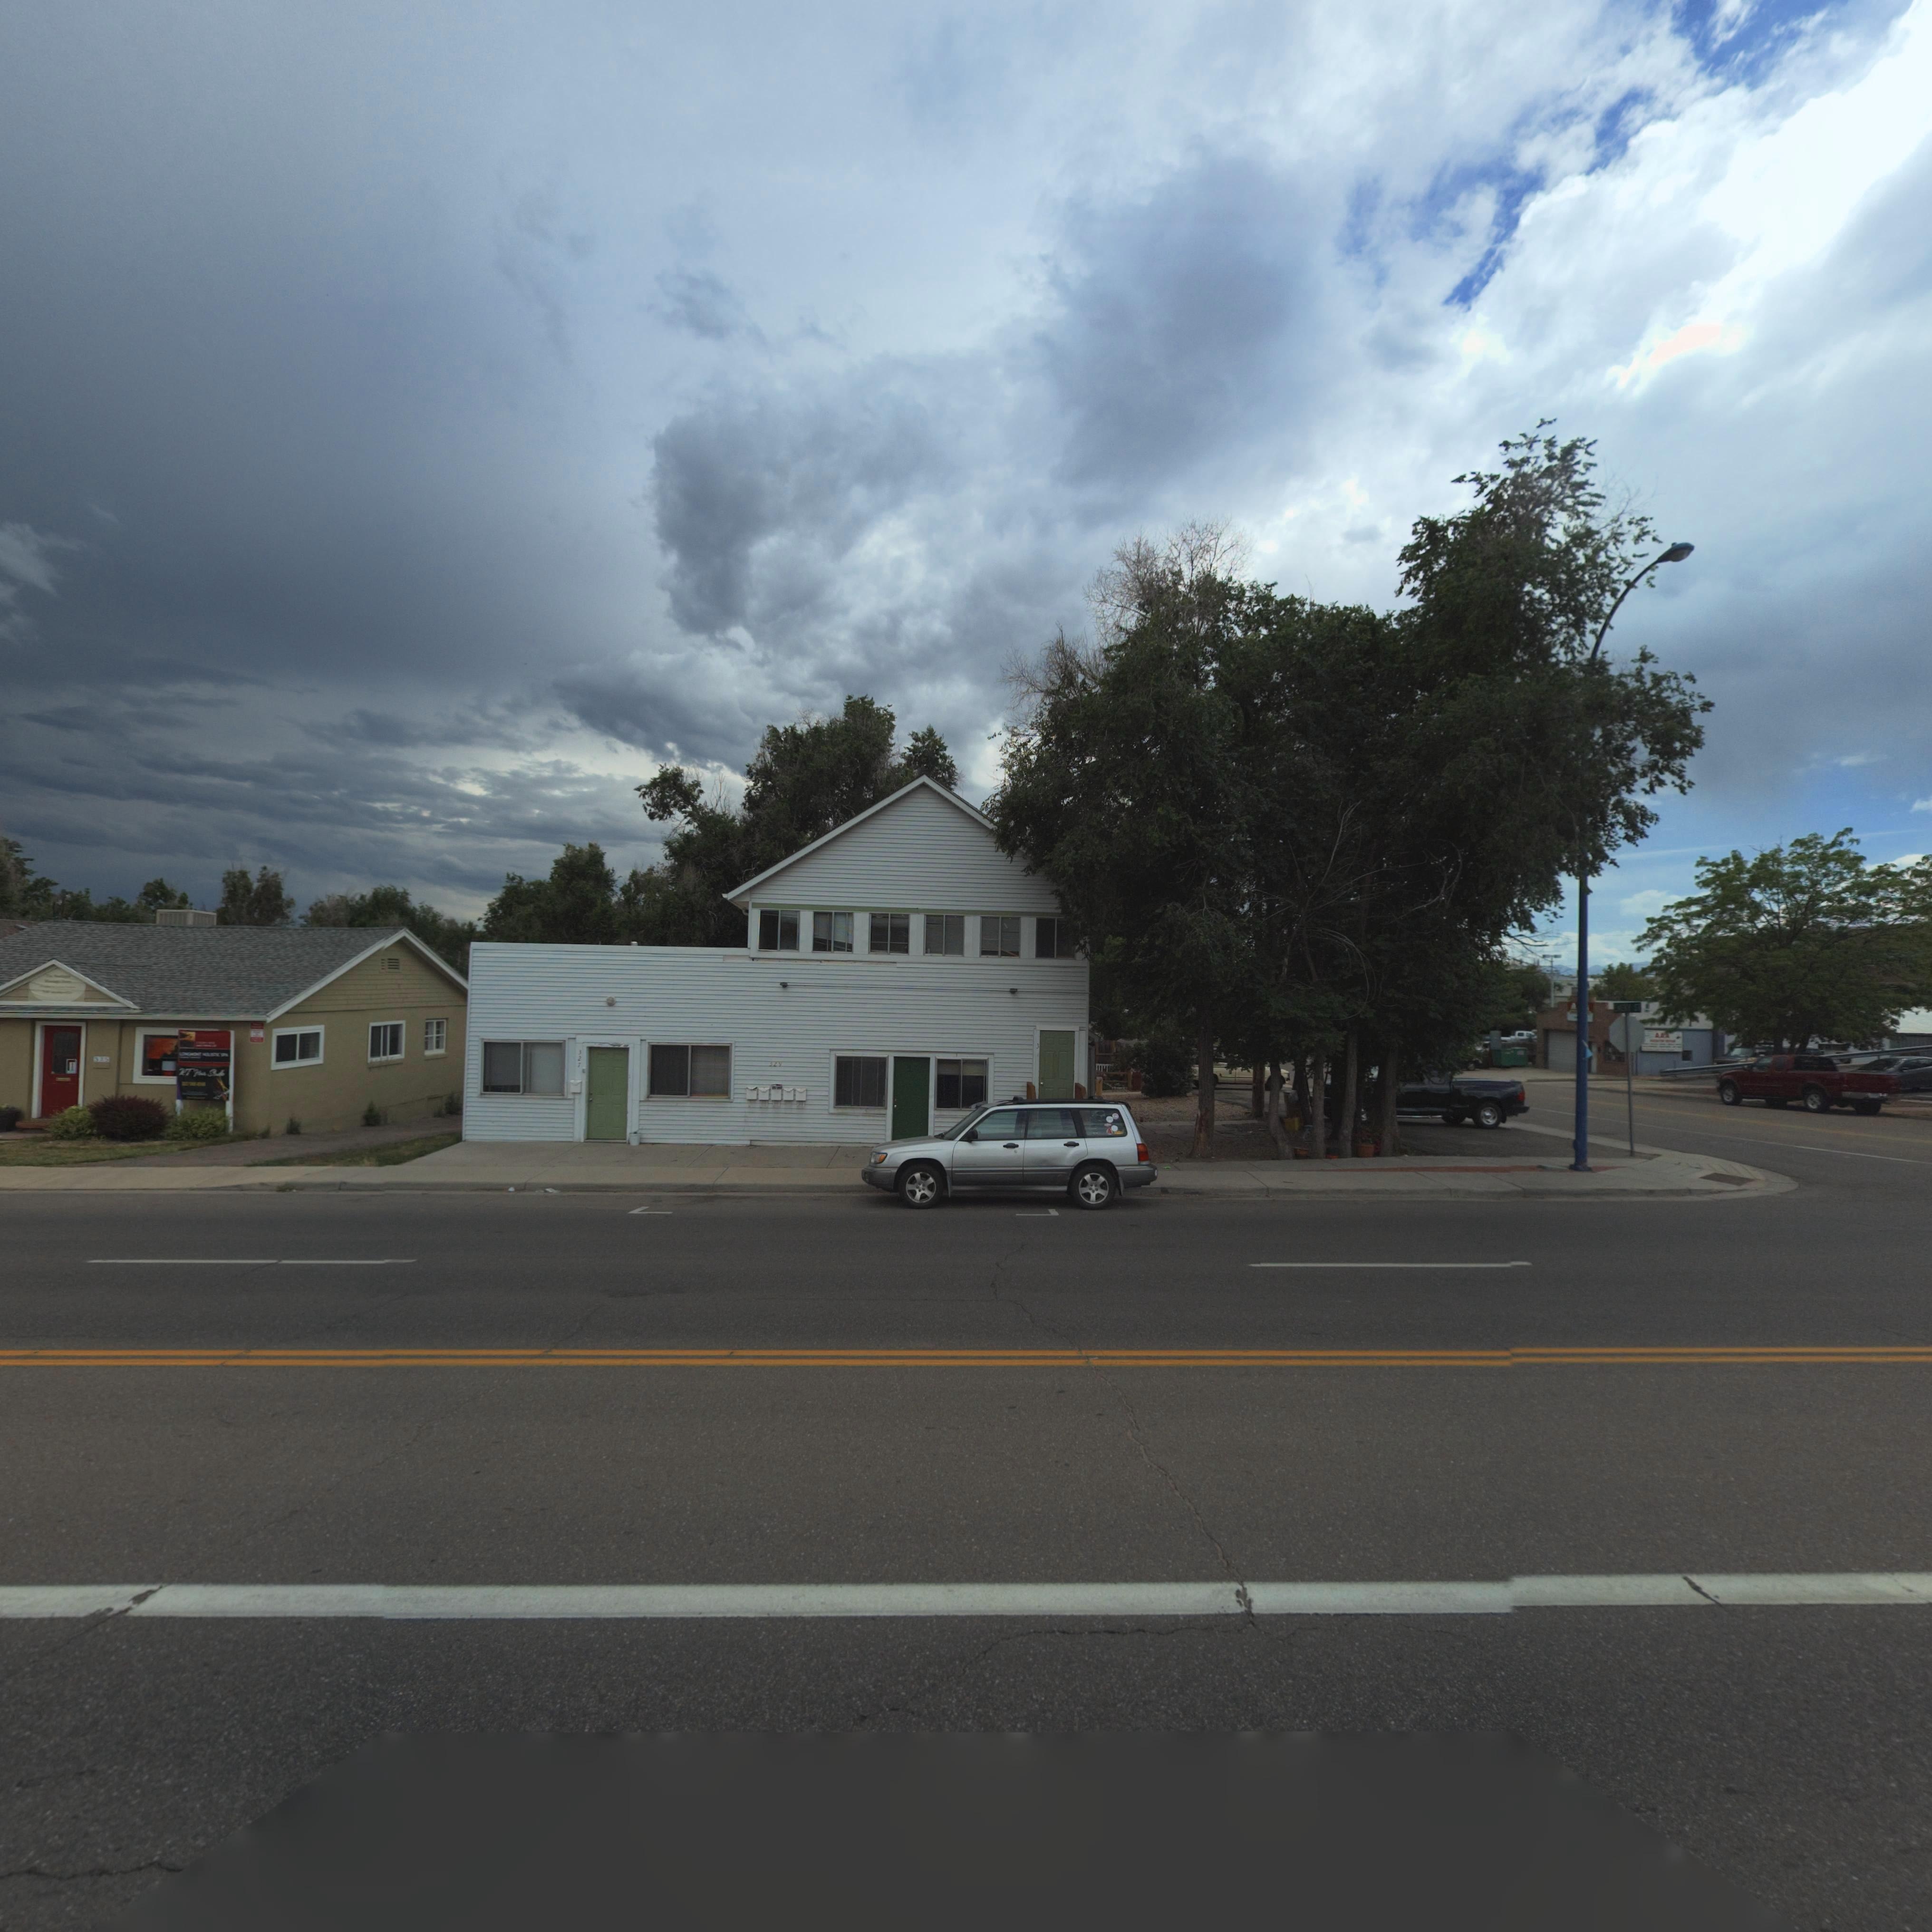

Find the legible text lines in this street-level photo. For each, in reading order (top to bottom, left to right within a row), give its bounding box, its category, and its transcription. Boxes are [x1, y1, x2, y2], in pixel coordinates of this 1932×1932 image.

[1614, 1003, 1641, 1012] StreetName: EMERY ST
[1655, 1033, 1670, 1038] BusinessName: AA*
[179, 1052, 228, 1057] BusinessName: LONGMONT HOLISTIC SPA
[577, 1049, 581, 1068] StreetNumber: 327
[769, 1061, 782, 1067] StreetNumber: 329
[179, 1068, 225, 1076] BusinessName: KT H*** S*****